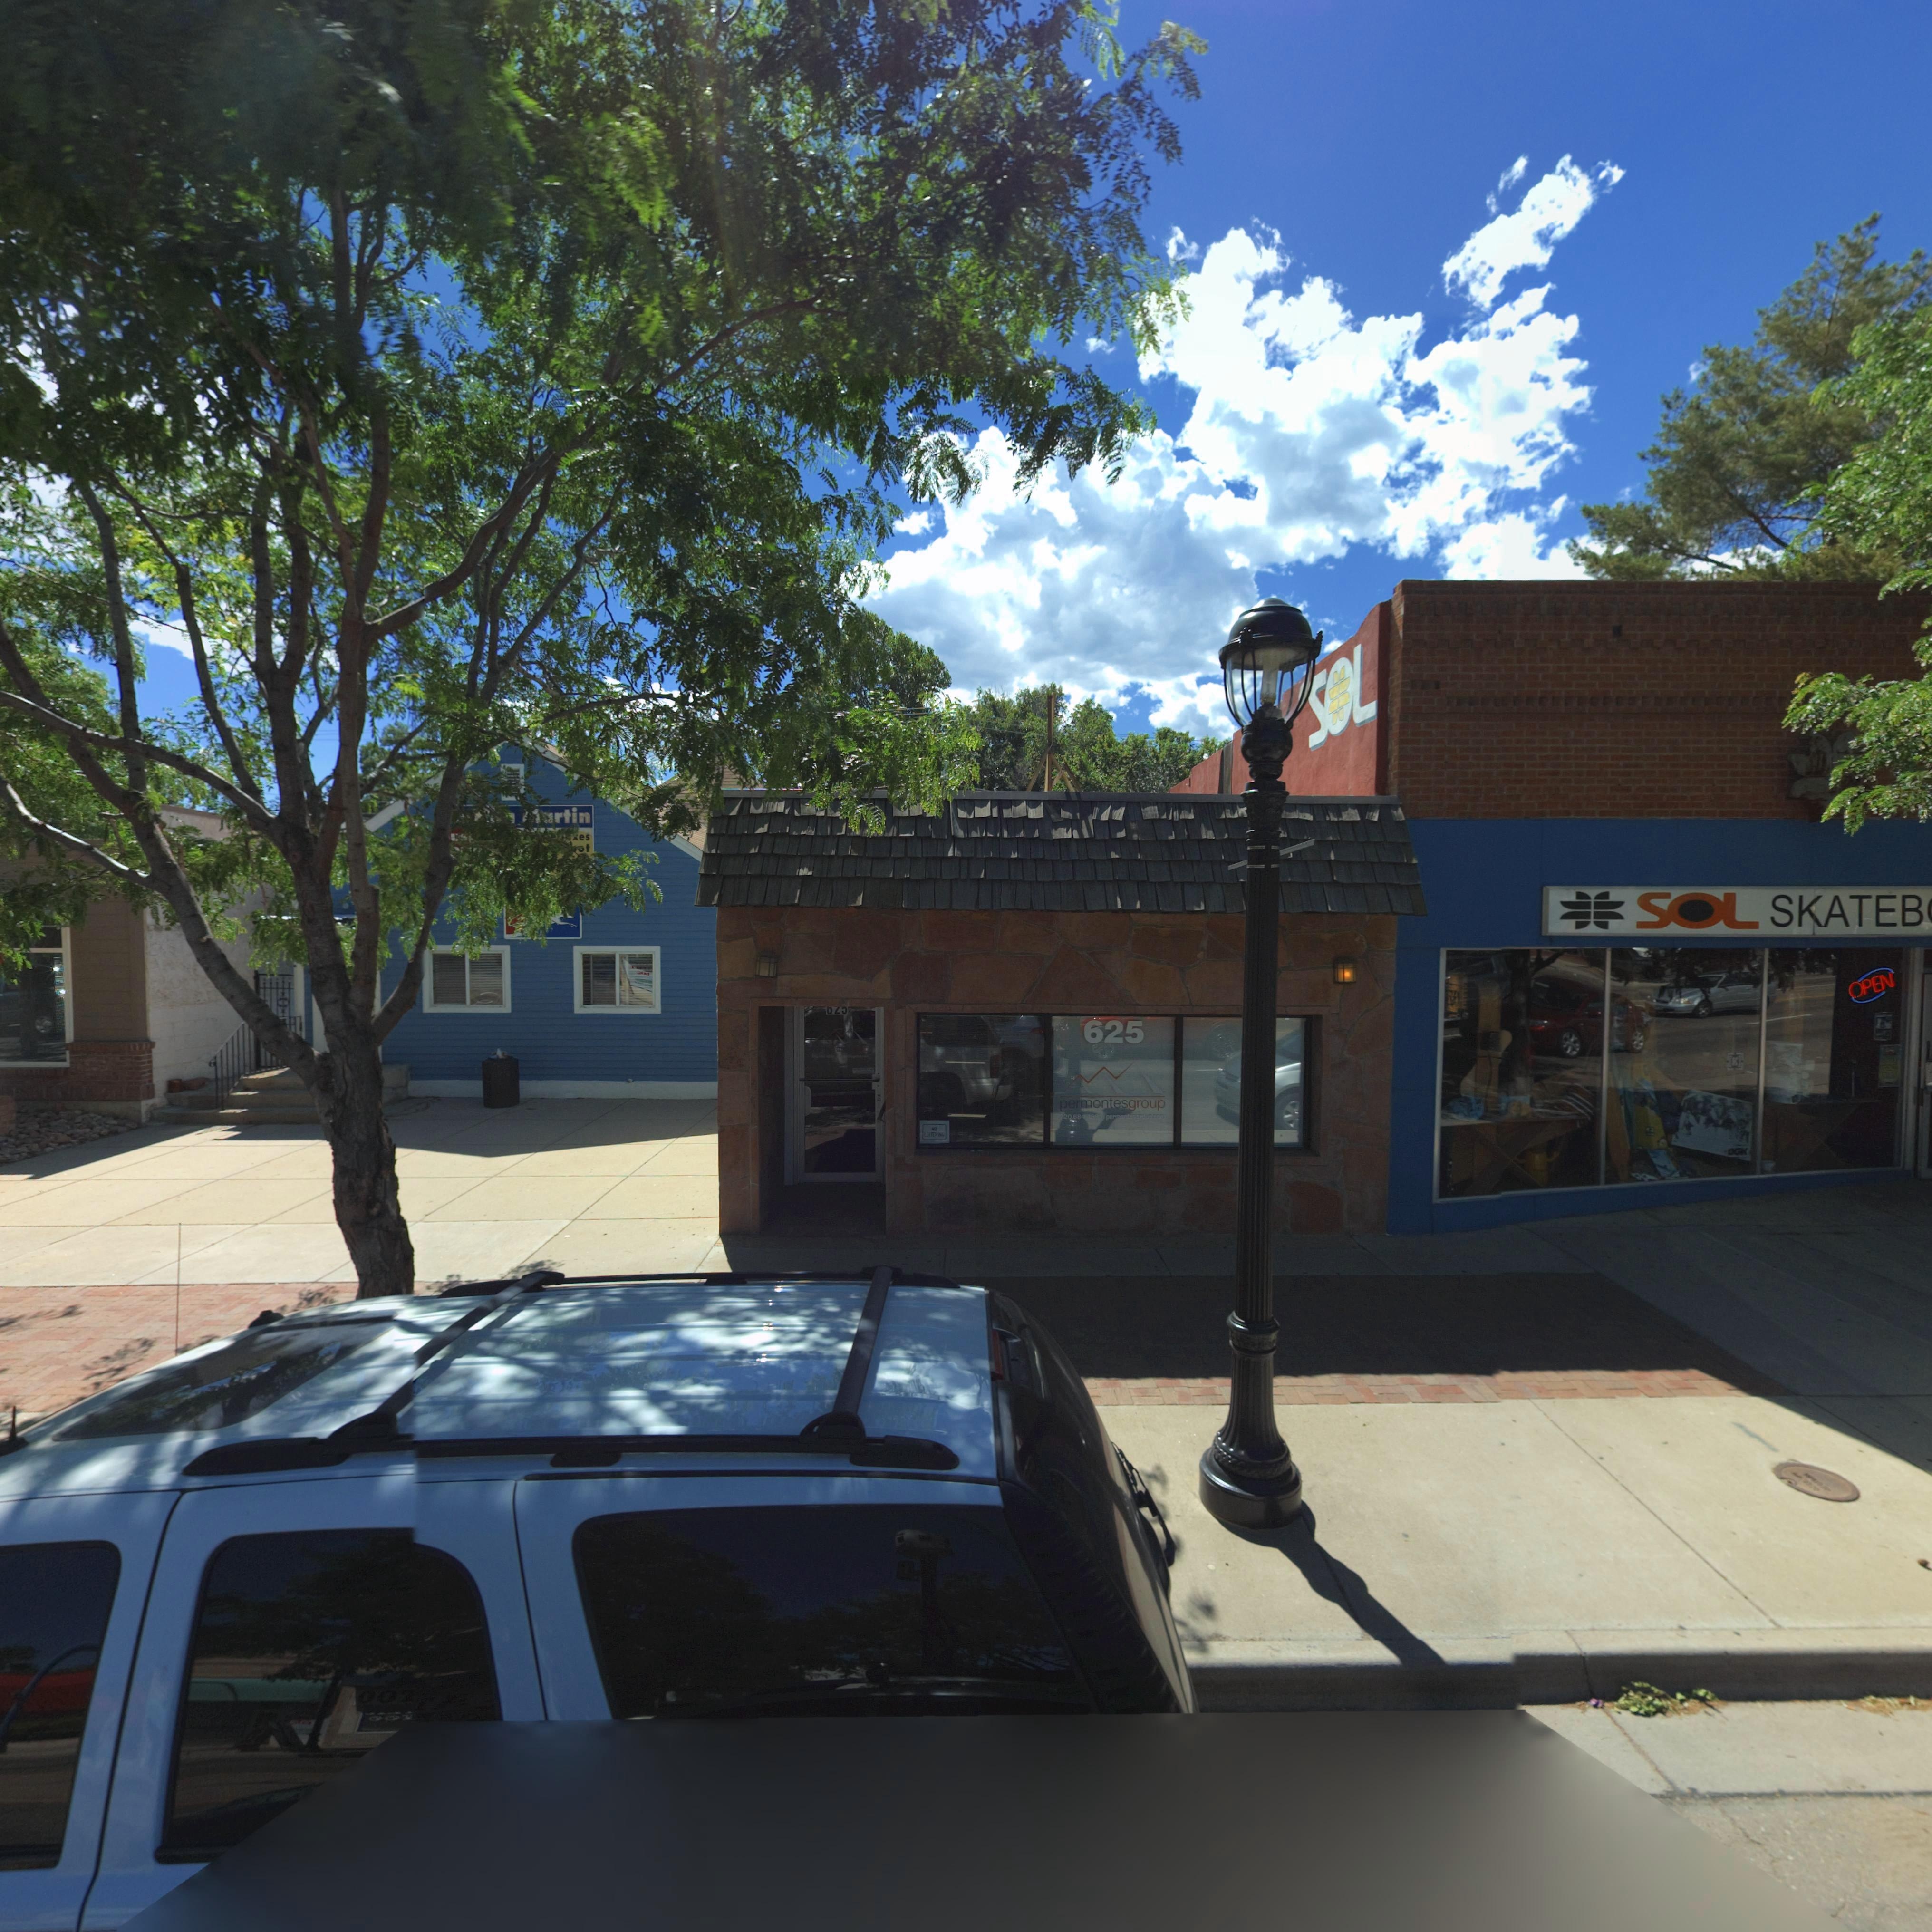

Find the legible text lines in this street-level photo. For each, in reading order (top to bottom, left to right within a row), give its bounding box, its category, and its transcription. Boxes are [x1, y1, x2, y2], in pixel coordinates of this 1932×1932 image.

[522, 806, 591, 824] BusinessName: **rtin
[1634, 890, 1925, 930] BusinessName: SOL SKATEB
[1082, 1019, 1144, 1044] StreetNumber: 625
[1060, 1097, 1166, 1111] BusinessName: PERMONTESGROUP